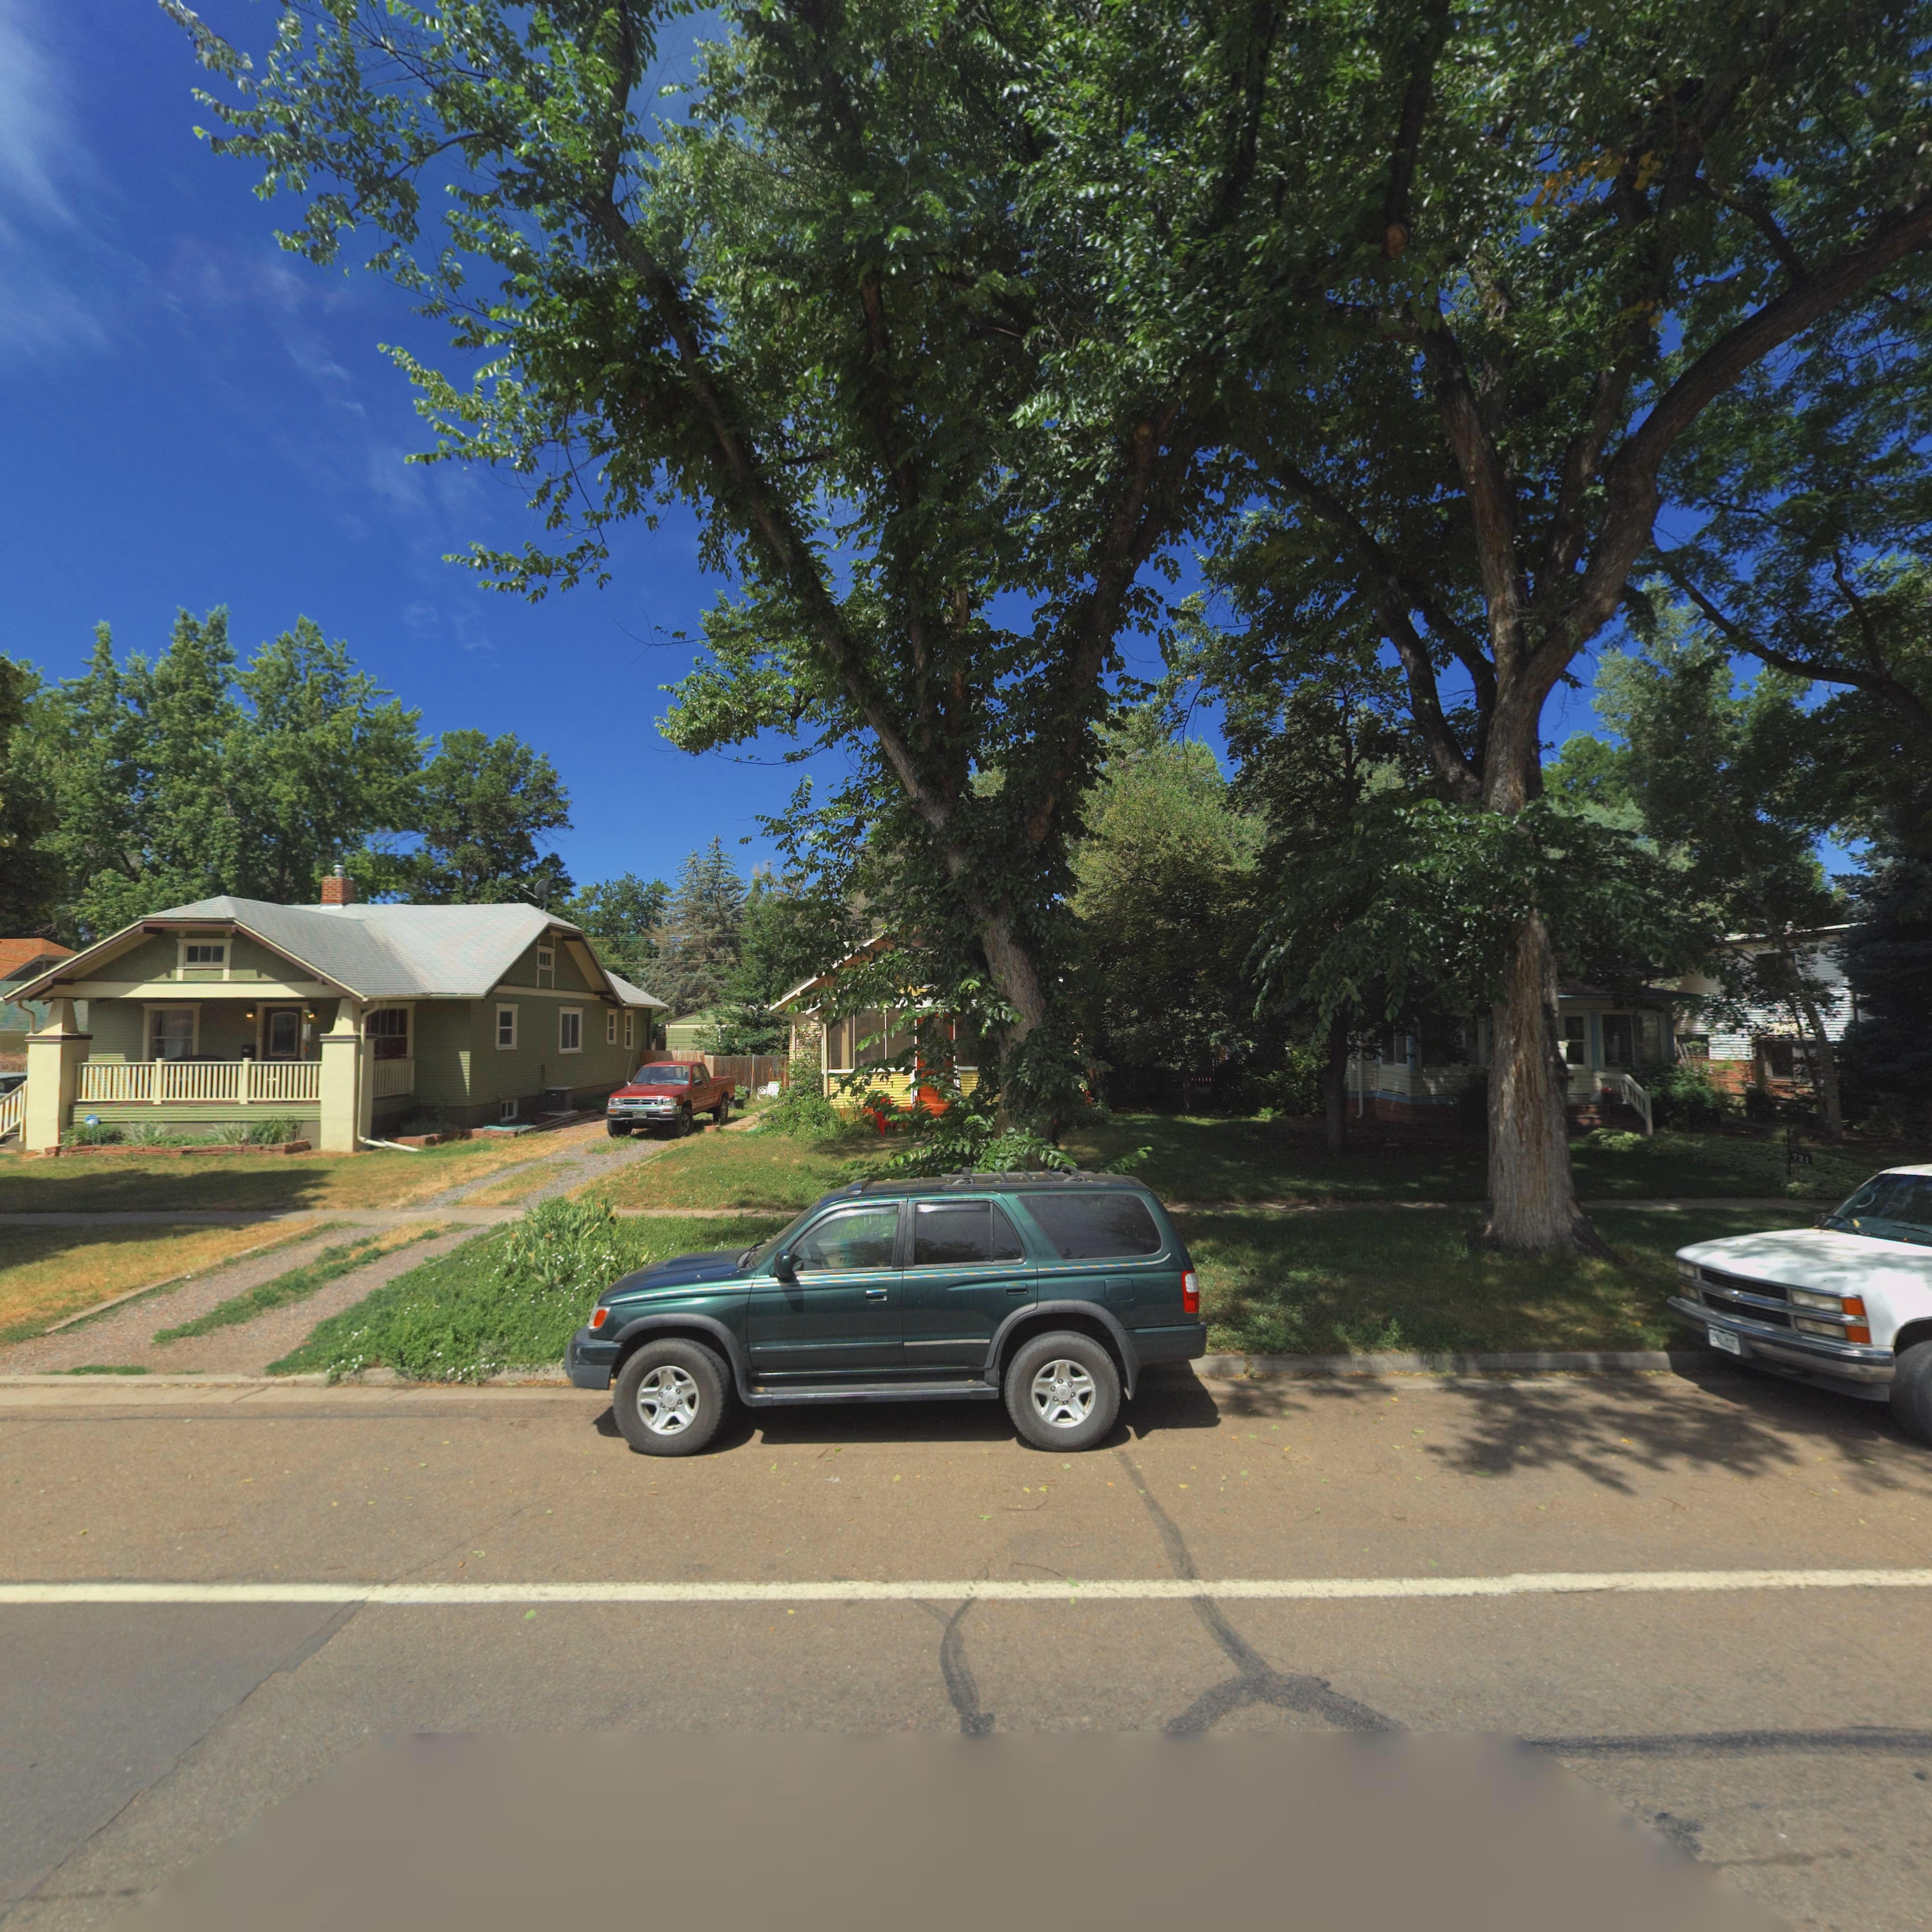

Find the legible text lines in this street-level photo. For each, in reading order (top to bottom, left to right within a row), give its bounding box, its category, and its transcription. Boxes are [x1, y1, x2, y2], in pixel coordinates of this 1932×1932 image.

[1792, 1152, 1809, 1164] StreetNumber: 721